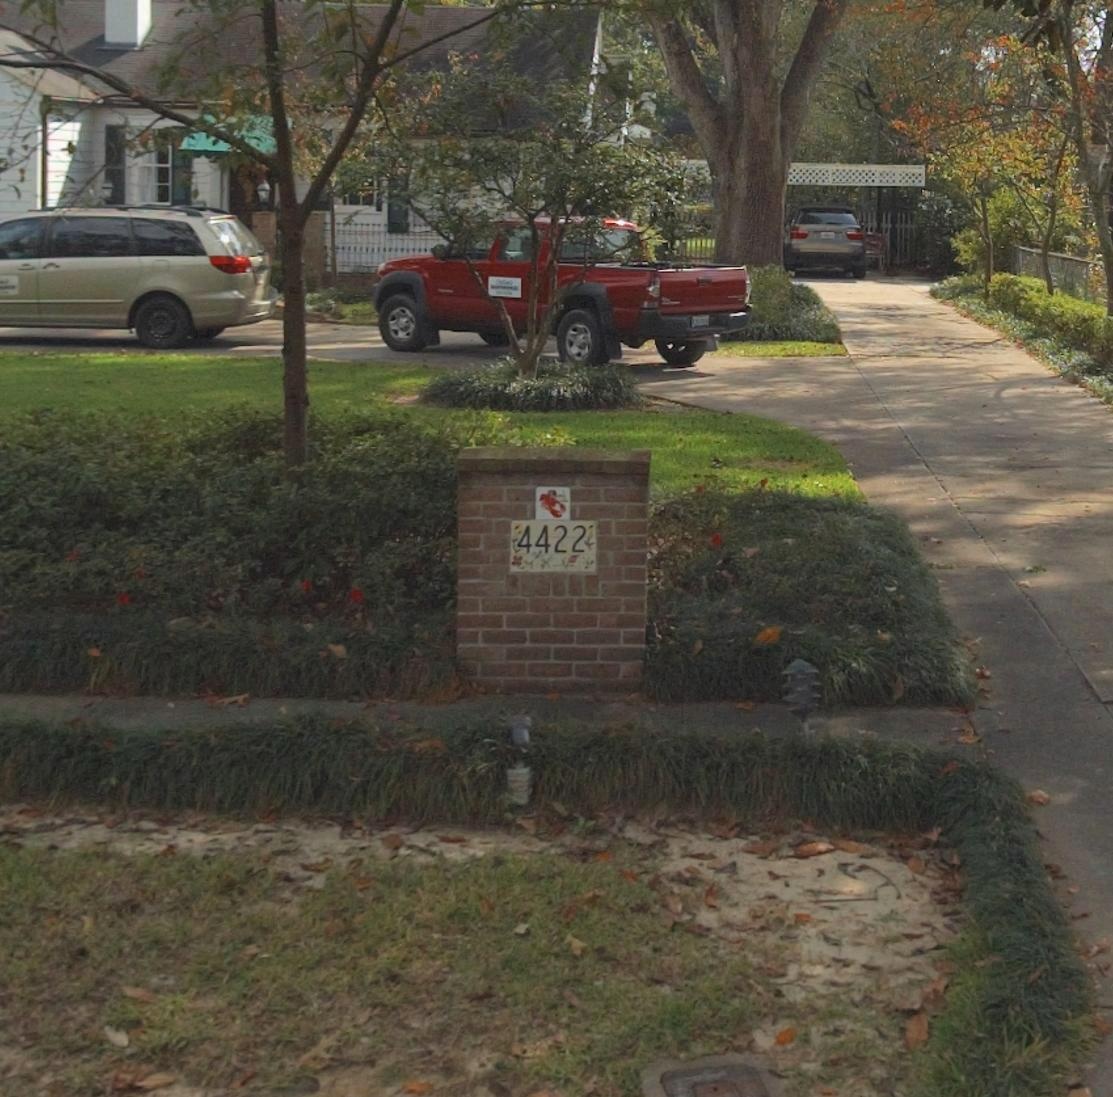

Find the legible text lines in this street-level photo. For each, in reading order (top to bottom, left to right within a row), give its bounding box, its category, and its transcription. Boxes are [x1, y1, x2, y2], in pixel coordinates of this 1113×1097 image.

[516, 522, 590, 557] StreetNumber: 4422